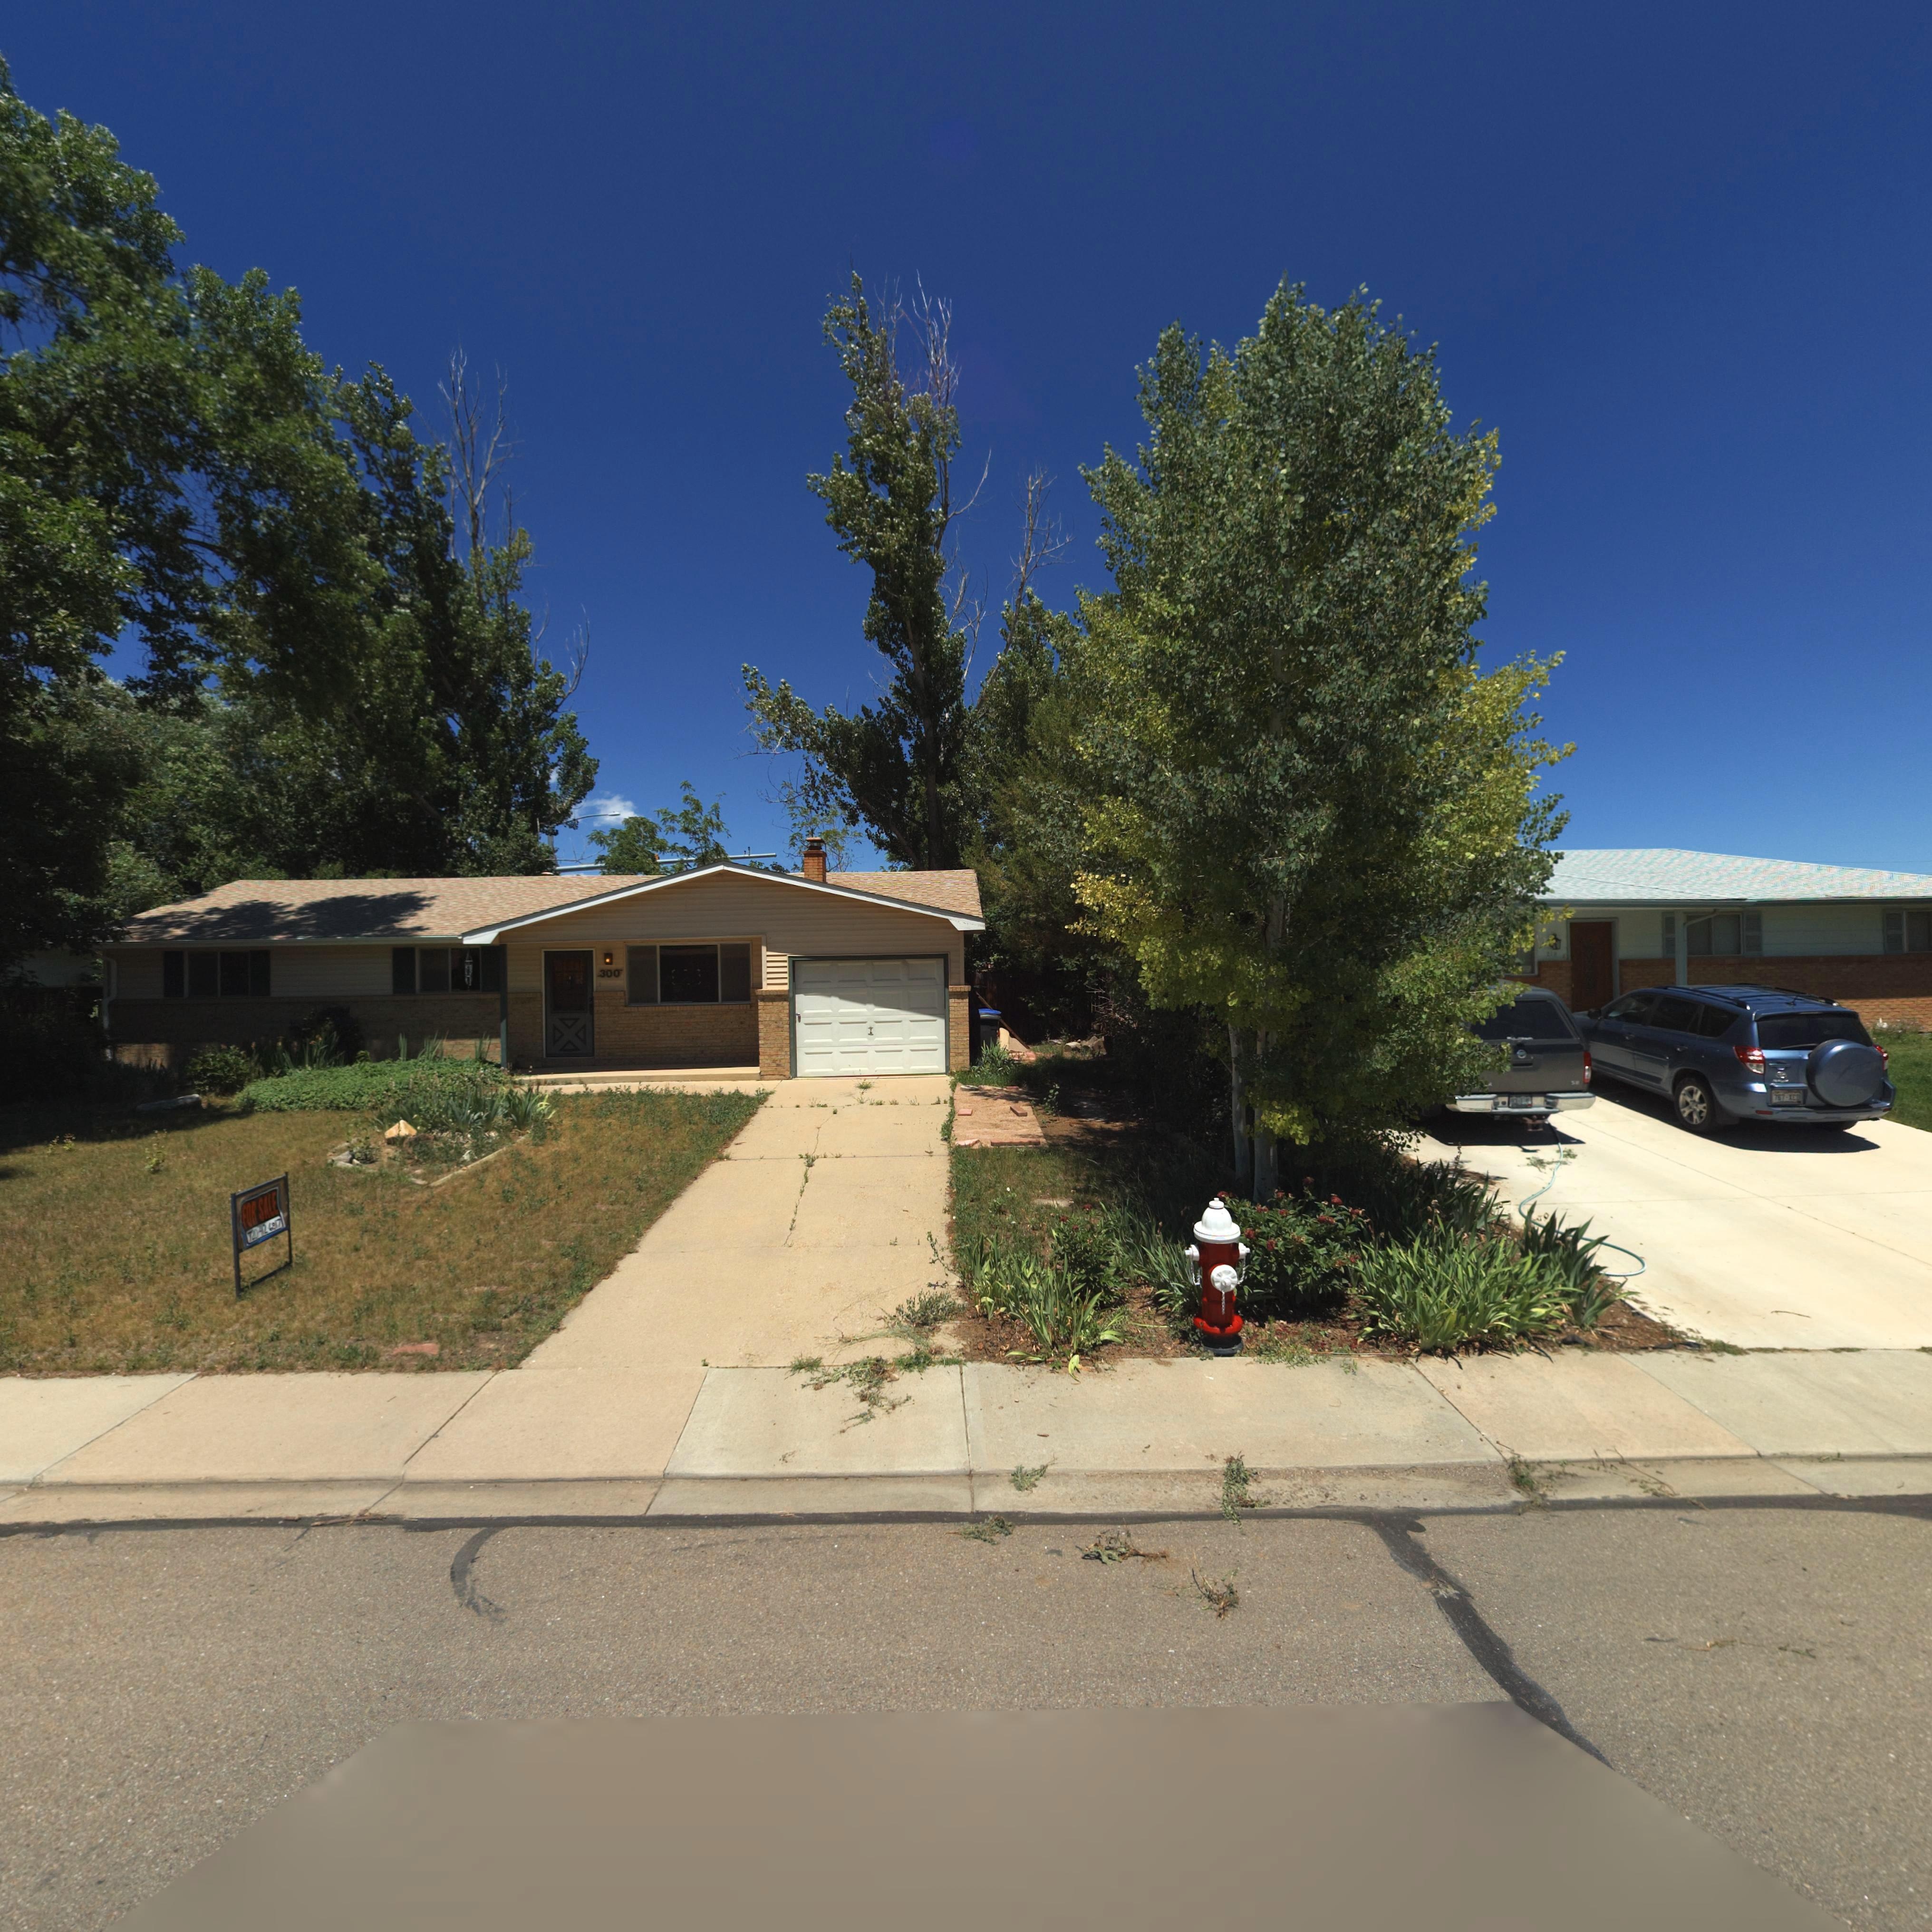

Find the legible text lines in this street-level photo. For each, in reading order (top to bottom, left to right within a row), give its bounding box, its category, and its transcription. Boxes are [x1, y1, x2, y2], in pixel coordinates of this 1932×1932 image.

[1546, 951, 1556, 956] StreetNumber: 21*
[599, 969, 620, 978] StreetNumber: 300